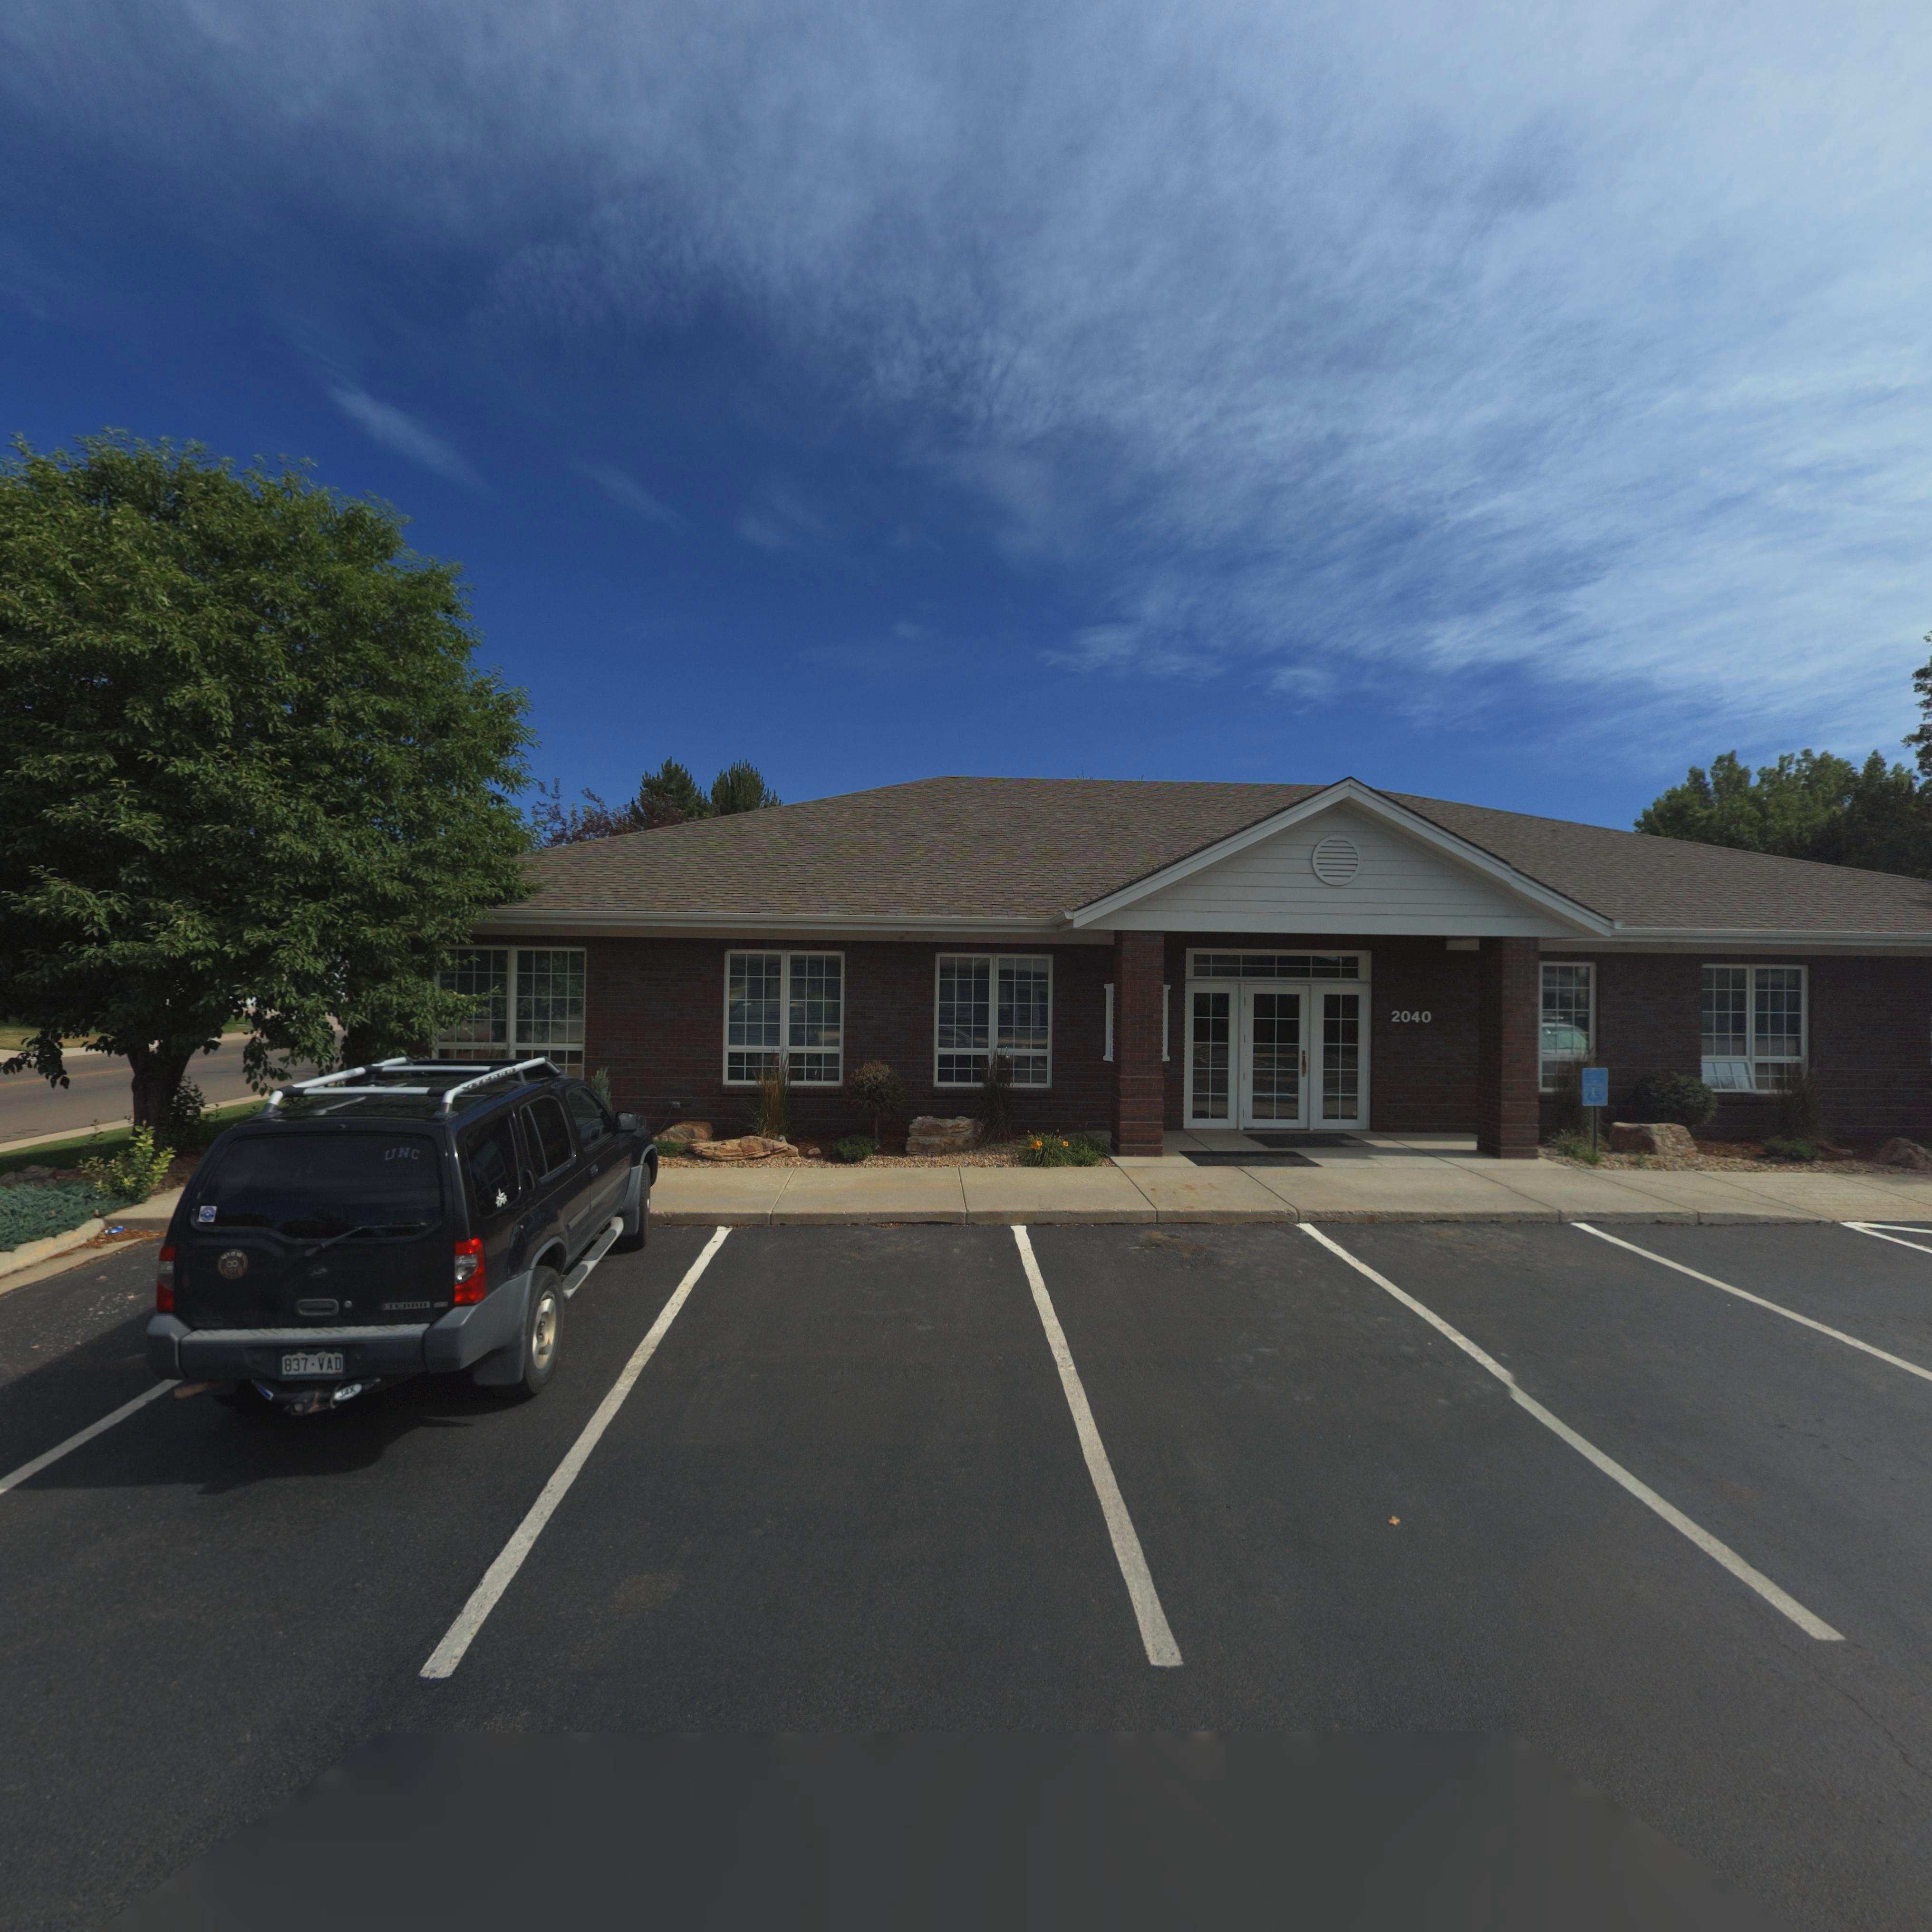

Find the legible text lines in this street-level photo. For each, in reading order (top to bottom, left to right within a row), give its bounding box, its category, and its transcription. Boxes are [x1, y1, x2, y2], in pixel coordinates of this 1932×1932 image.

[1391, 1010, 1432, 1023] StreetNumber: 2040